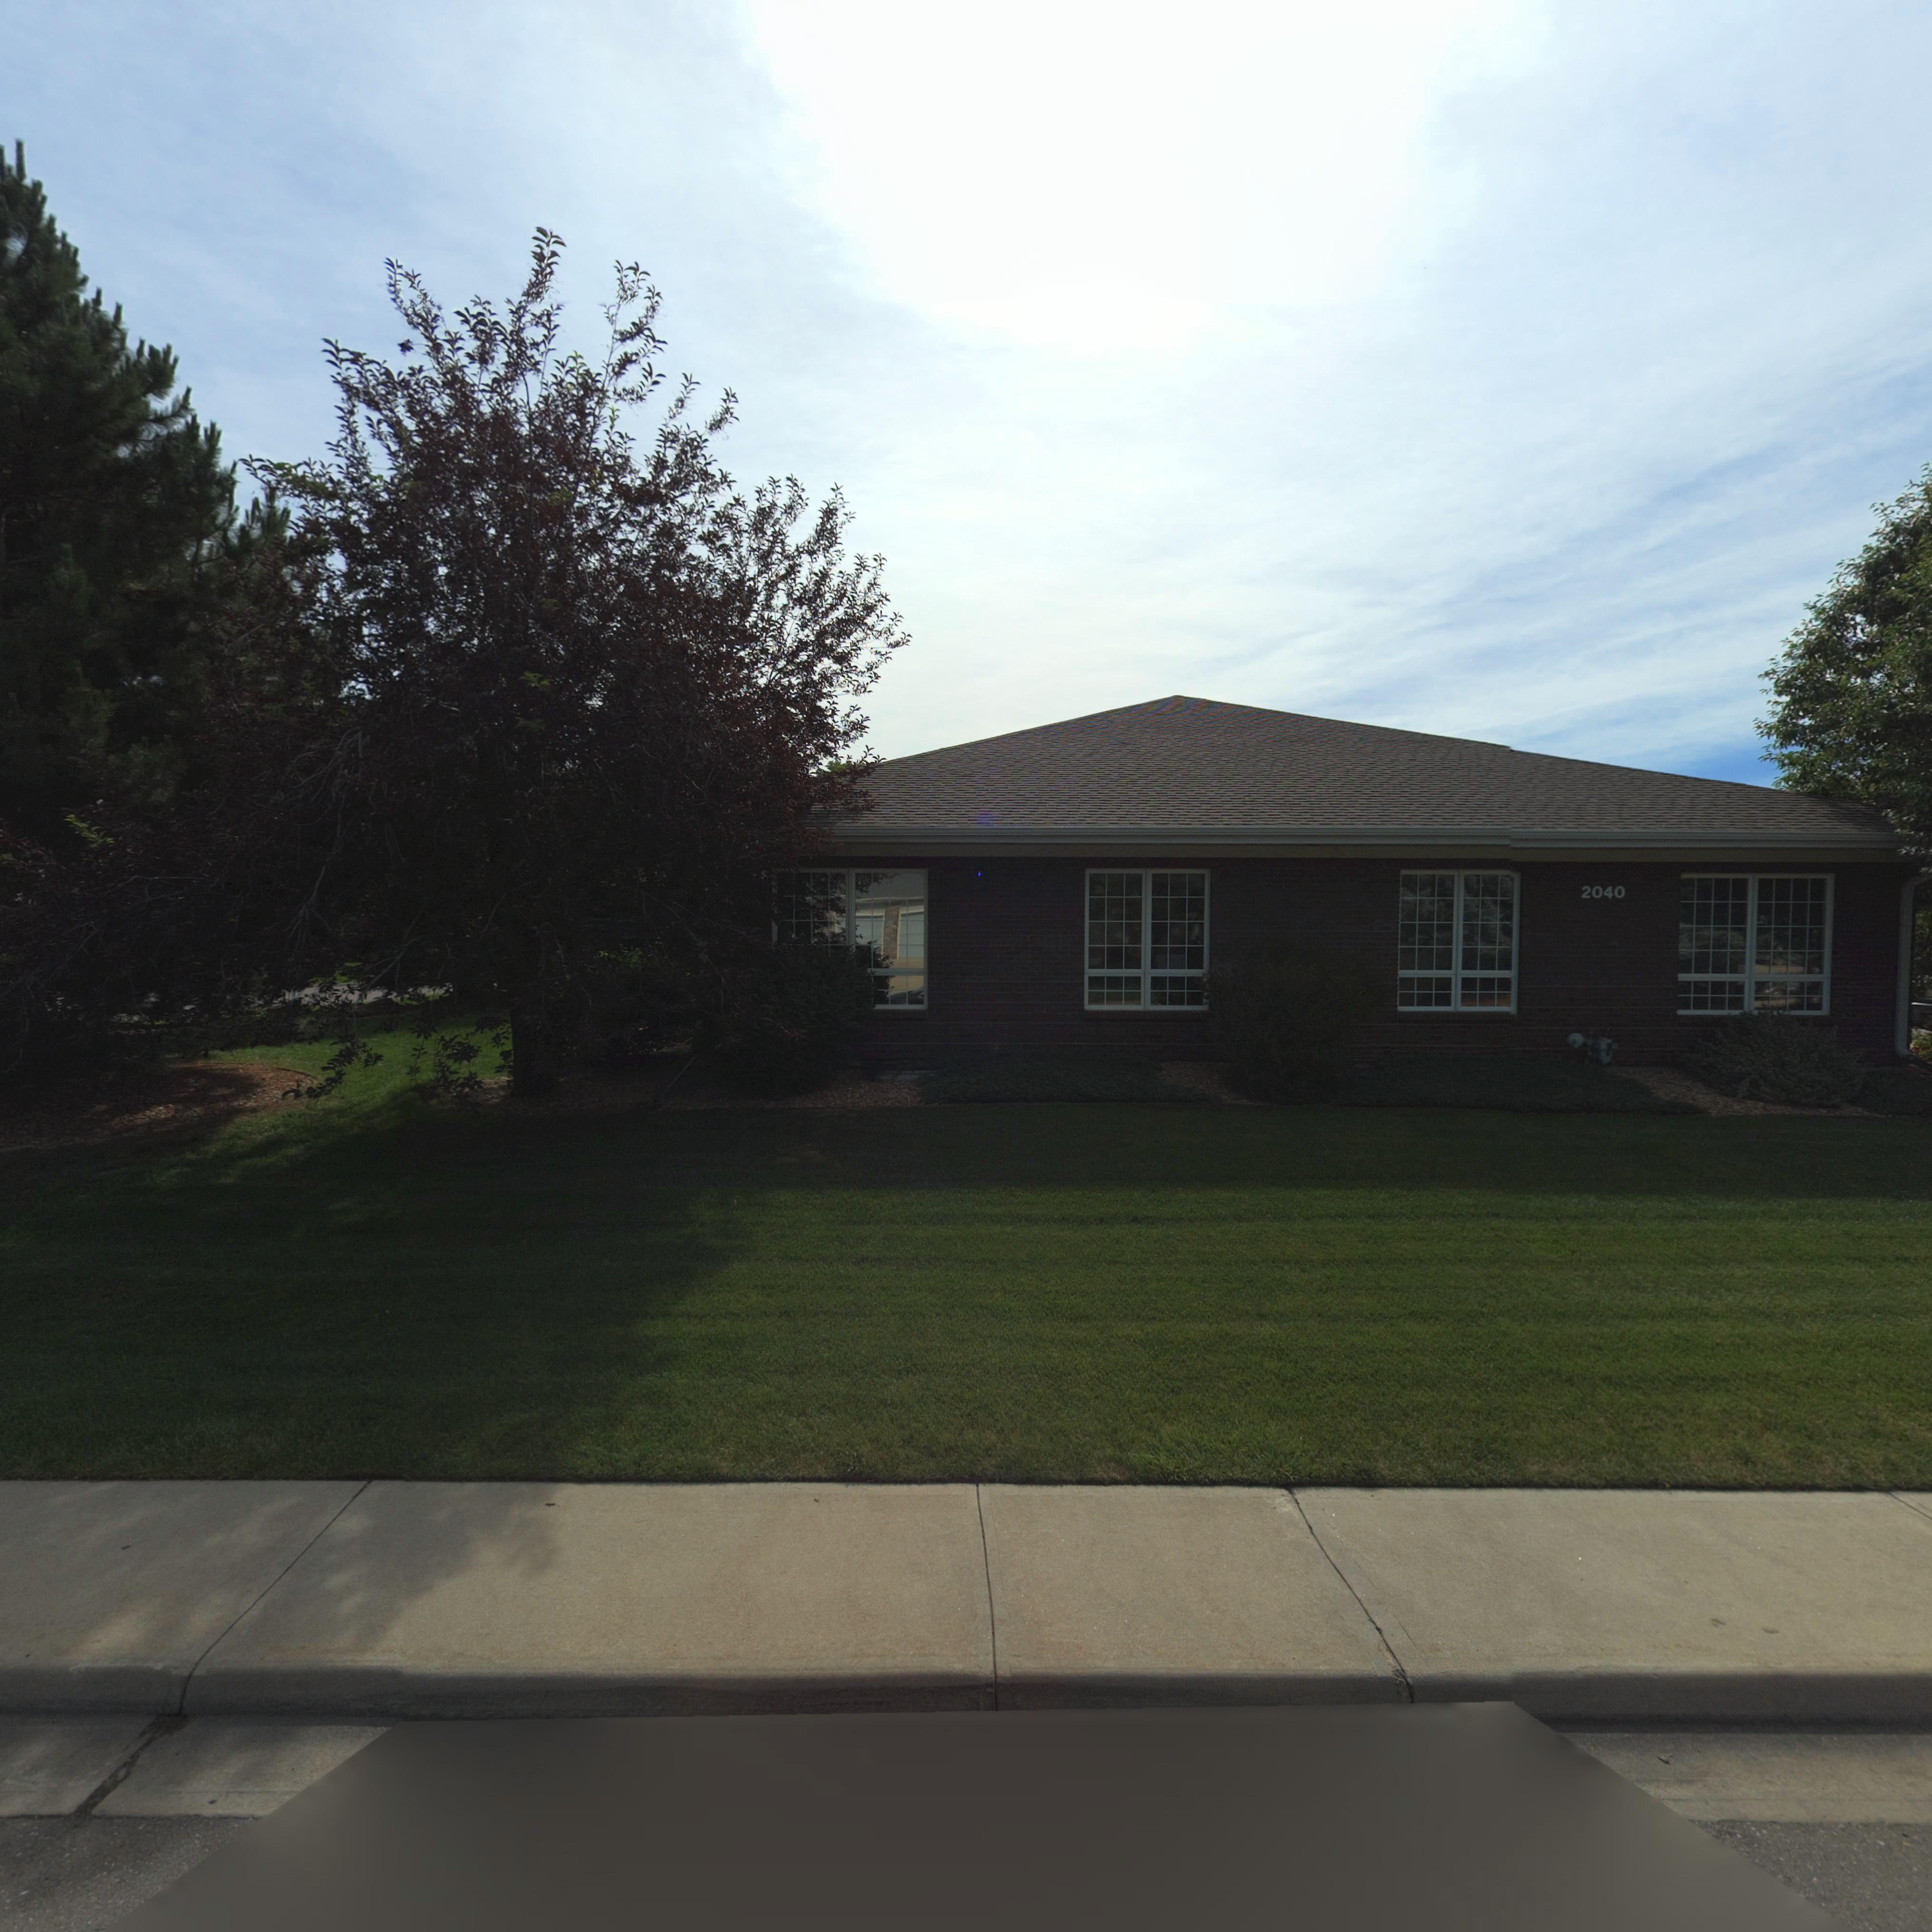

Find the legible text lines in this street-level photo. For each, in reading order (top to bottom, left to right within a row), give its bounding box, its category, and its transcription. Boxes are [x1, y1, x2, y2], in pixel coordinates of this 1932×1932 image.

[1580, 885, 1625, 898] StreetNumber: 2040